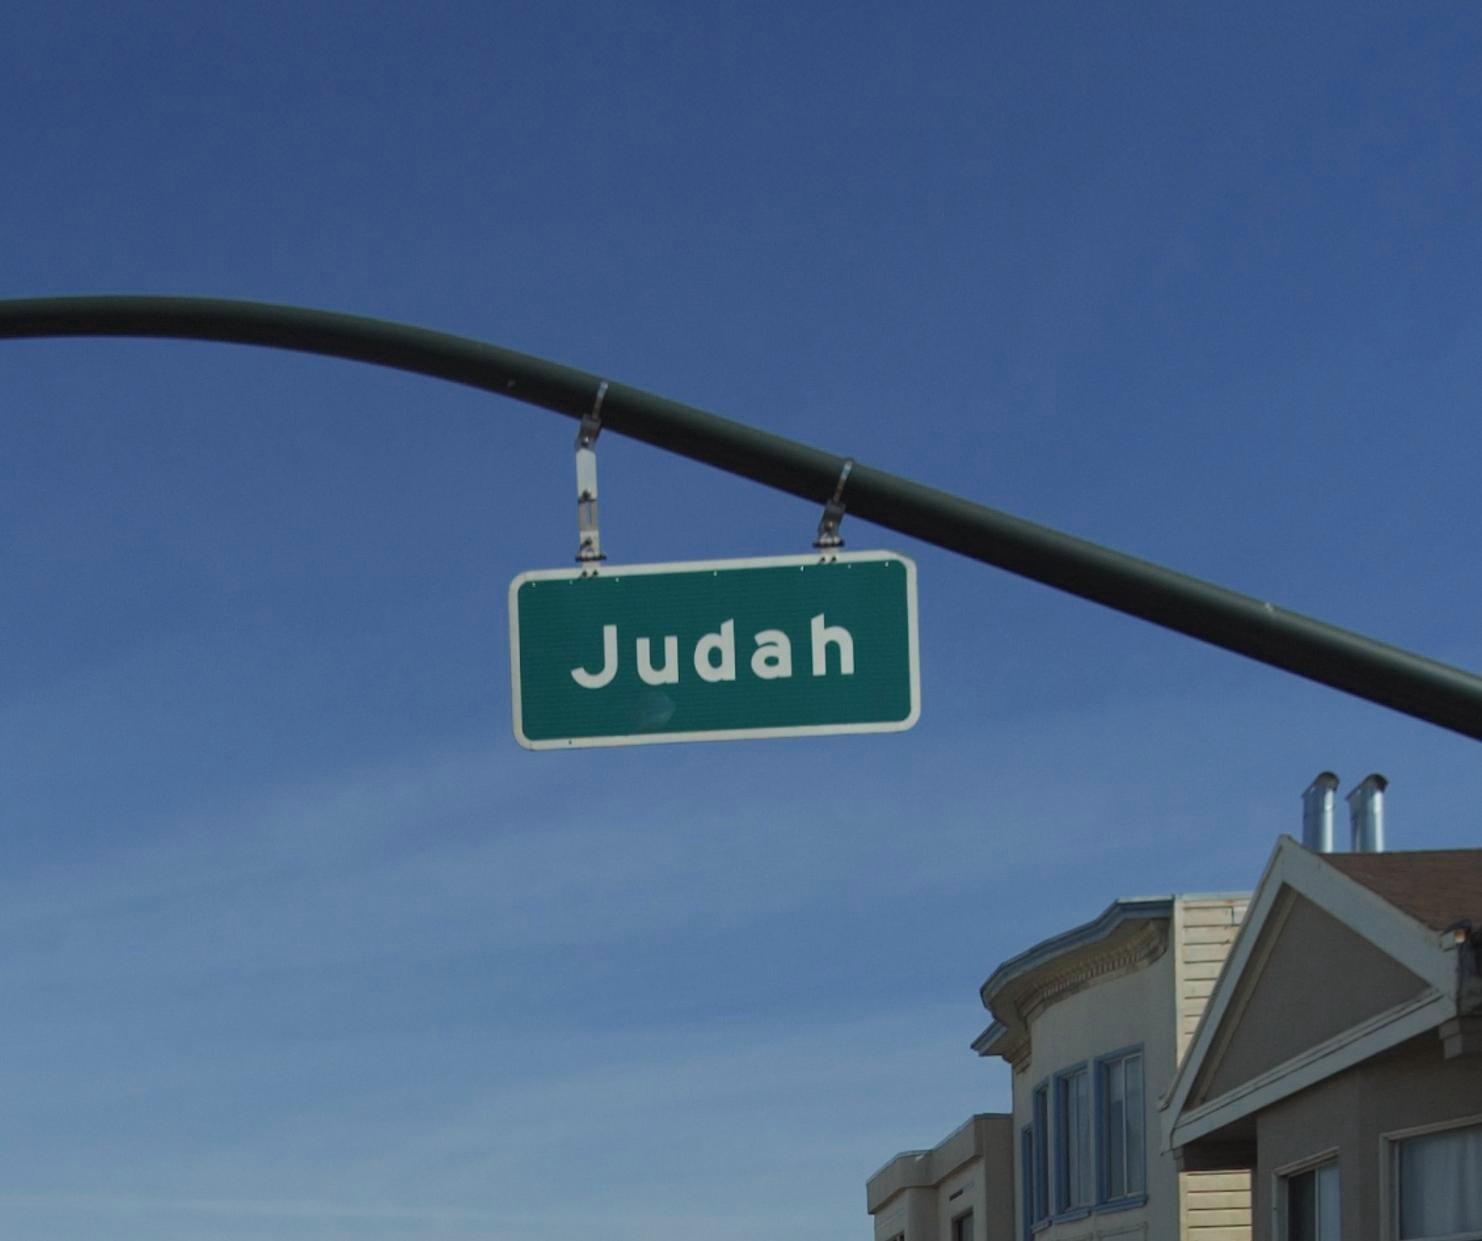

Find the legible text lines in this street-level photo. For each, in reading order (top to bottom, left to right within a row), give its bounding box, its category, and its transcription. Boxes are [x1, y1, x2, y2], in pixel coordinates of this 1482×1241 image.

[564, 607, 859, 692] StreetName: Judah